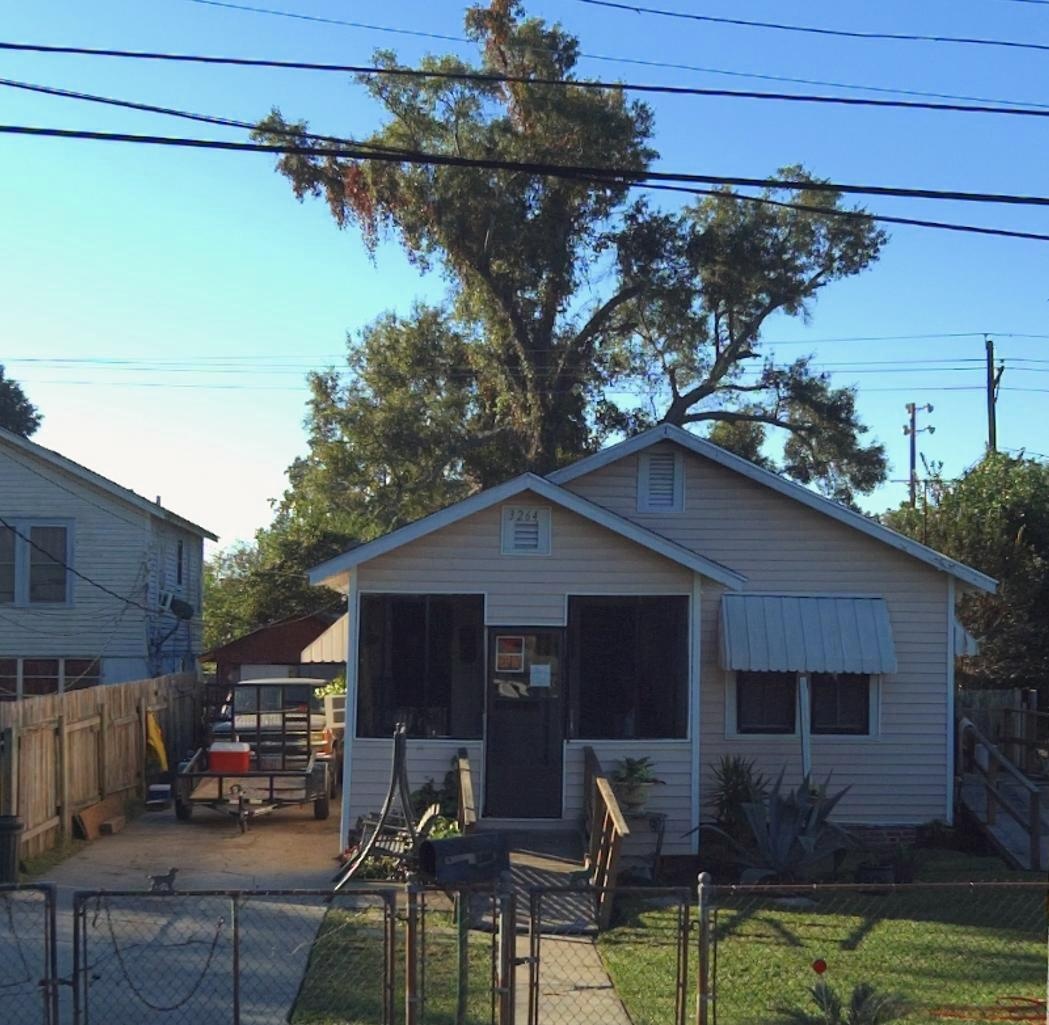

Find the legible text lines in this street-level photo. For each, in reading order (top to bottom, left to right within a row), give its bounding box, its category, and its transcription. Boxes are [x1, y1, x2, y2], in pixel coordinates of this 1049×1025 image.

[507, 509, 539, 522] StreetNumber: 3264